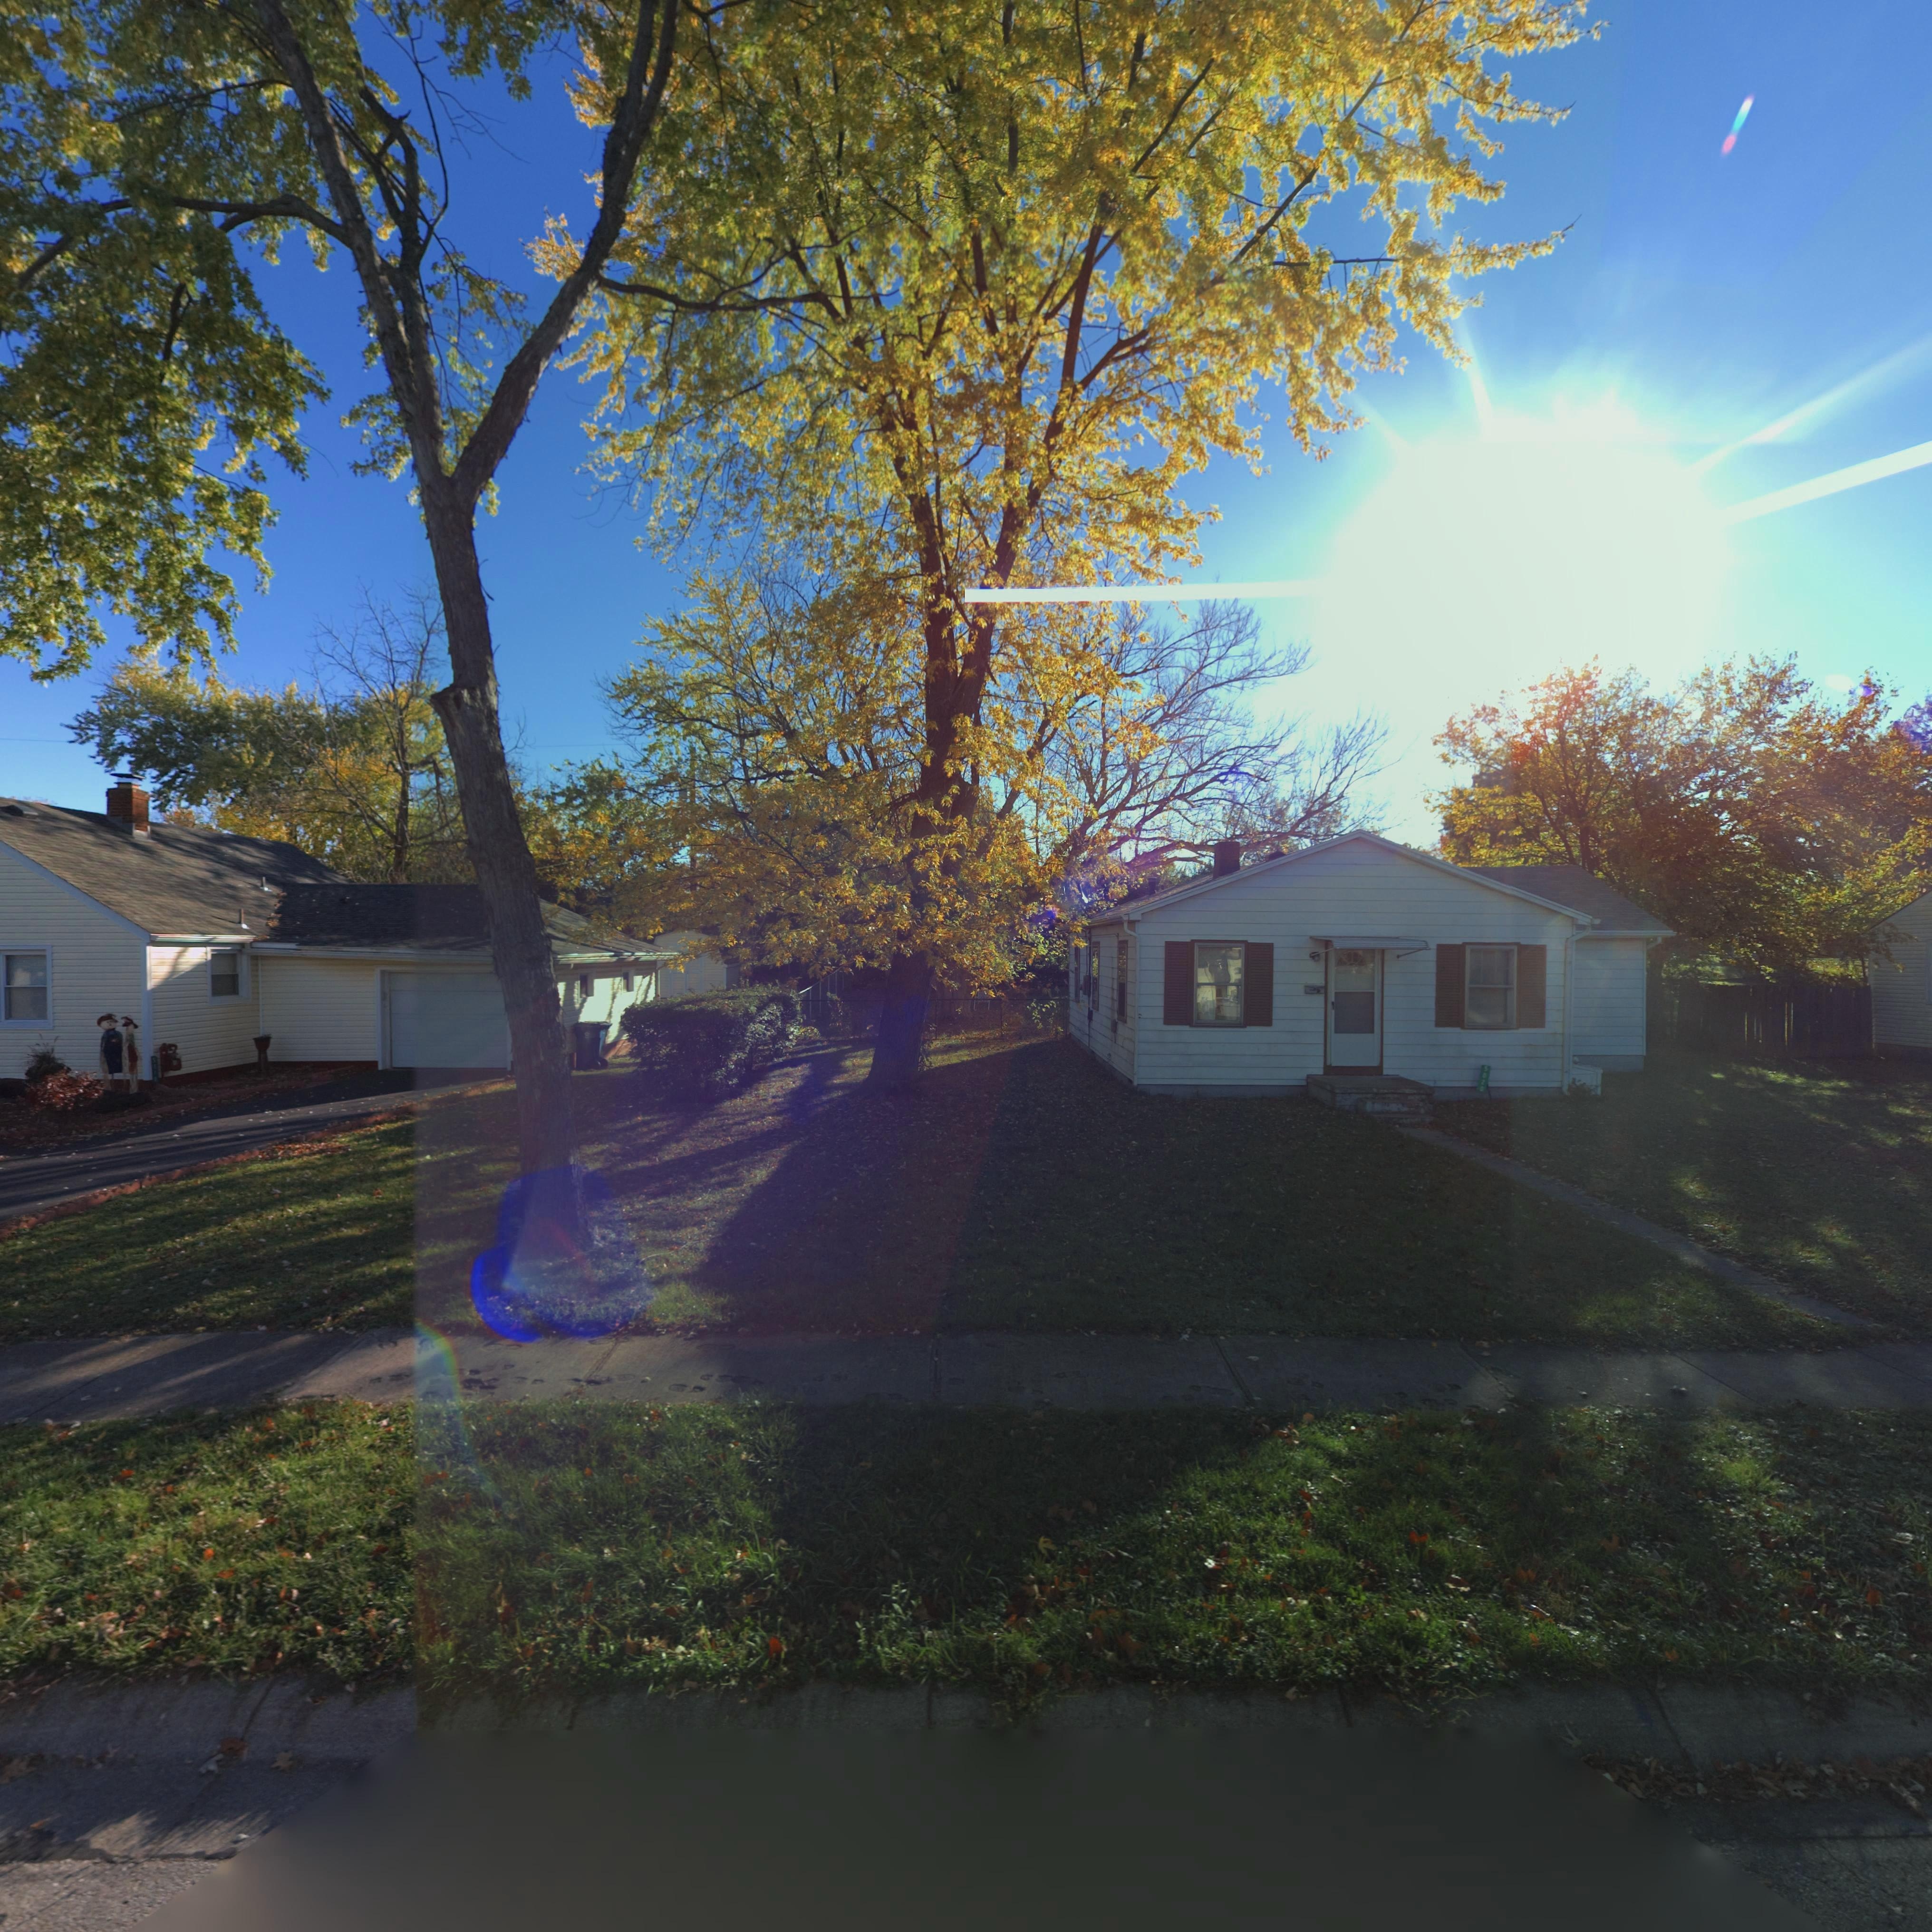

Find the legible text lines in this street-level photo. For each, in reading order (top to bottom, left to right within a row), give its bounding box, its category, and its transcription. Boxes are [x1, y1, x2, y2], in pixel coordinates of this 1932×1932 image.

[1478, 1065, 1489, 1092] StreetNumber: 5020